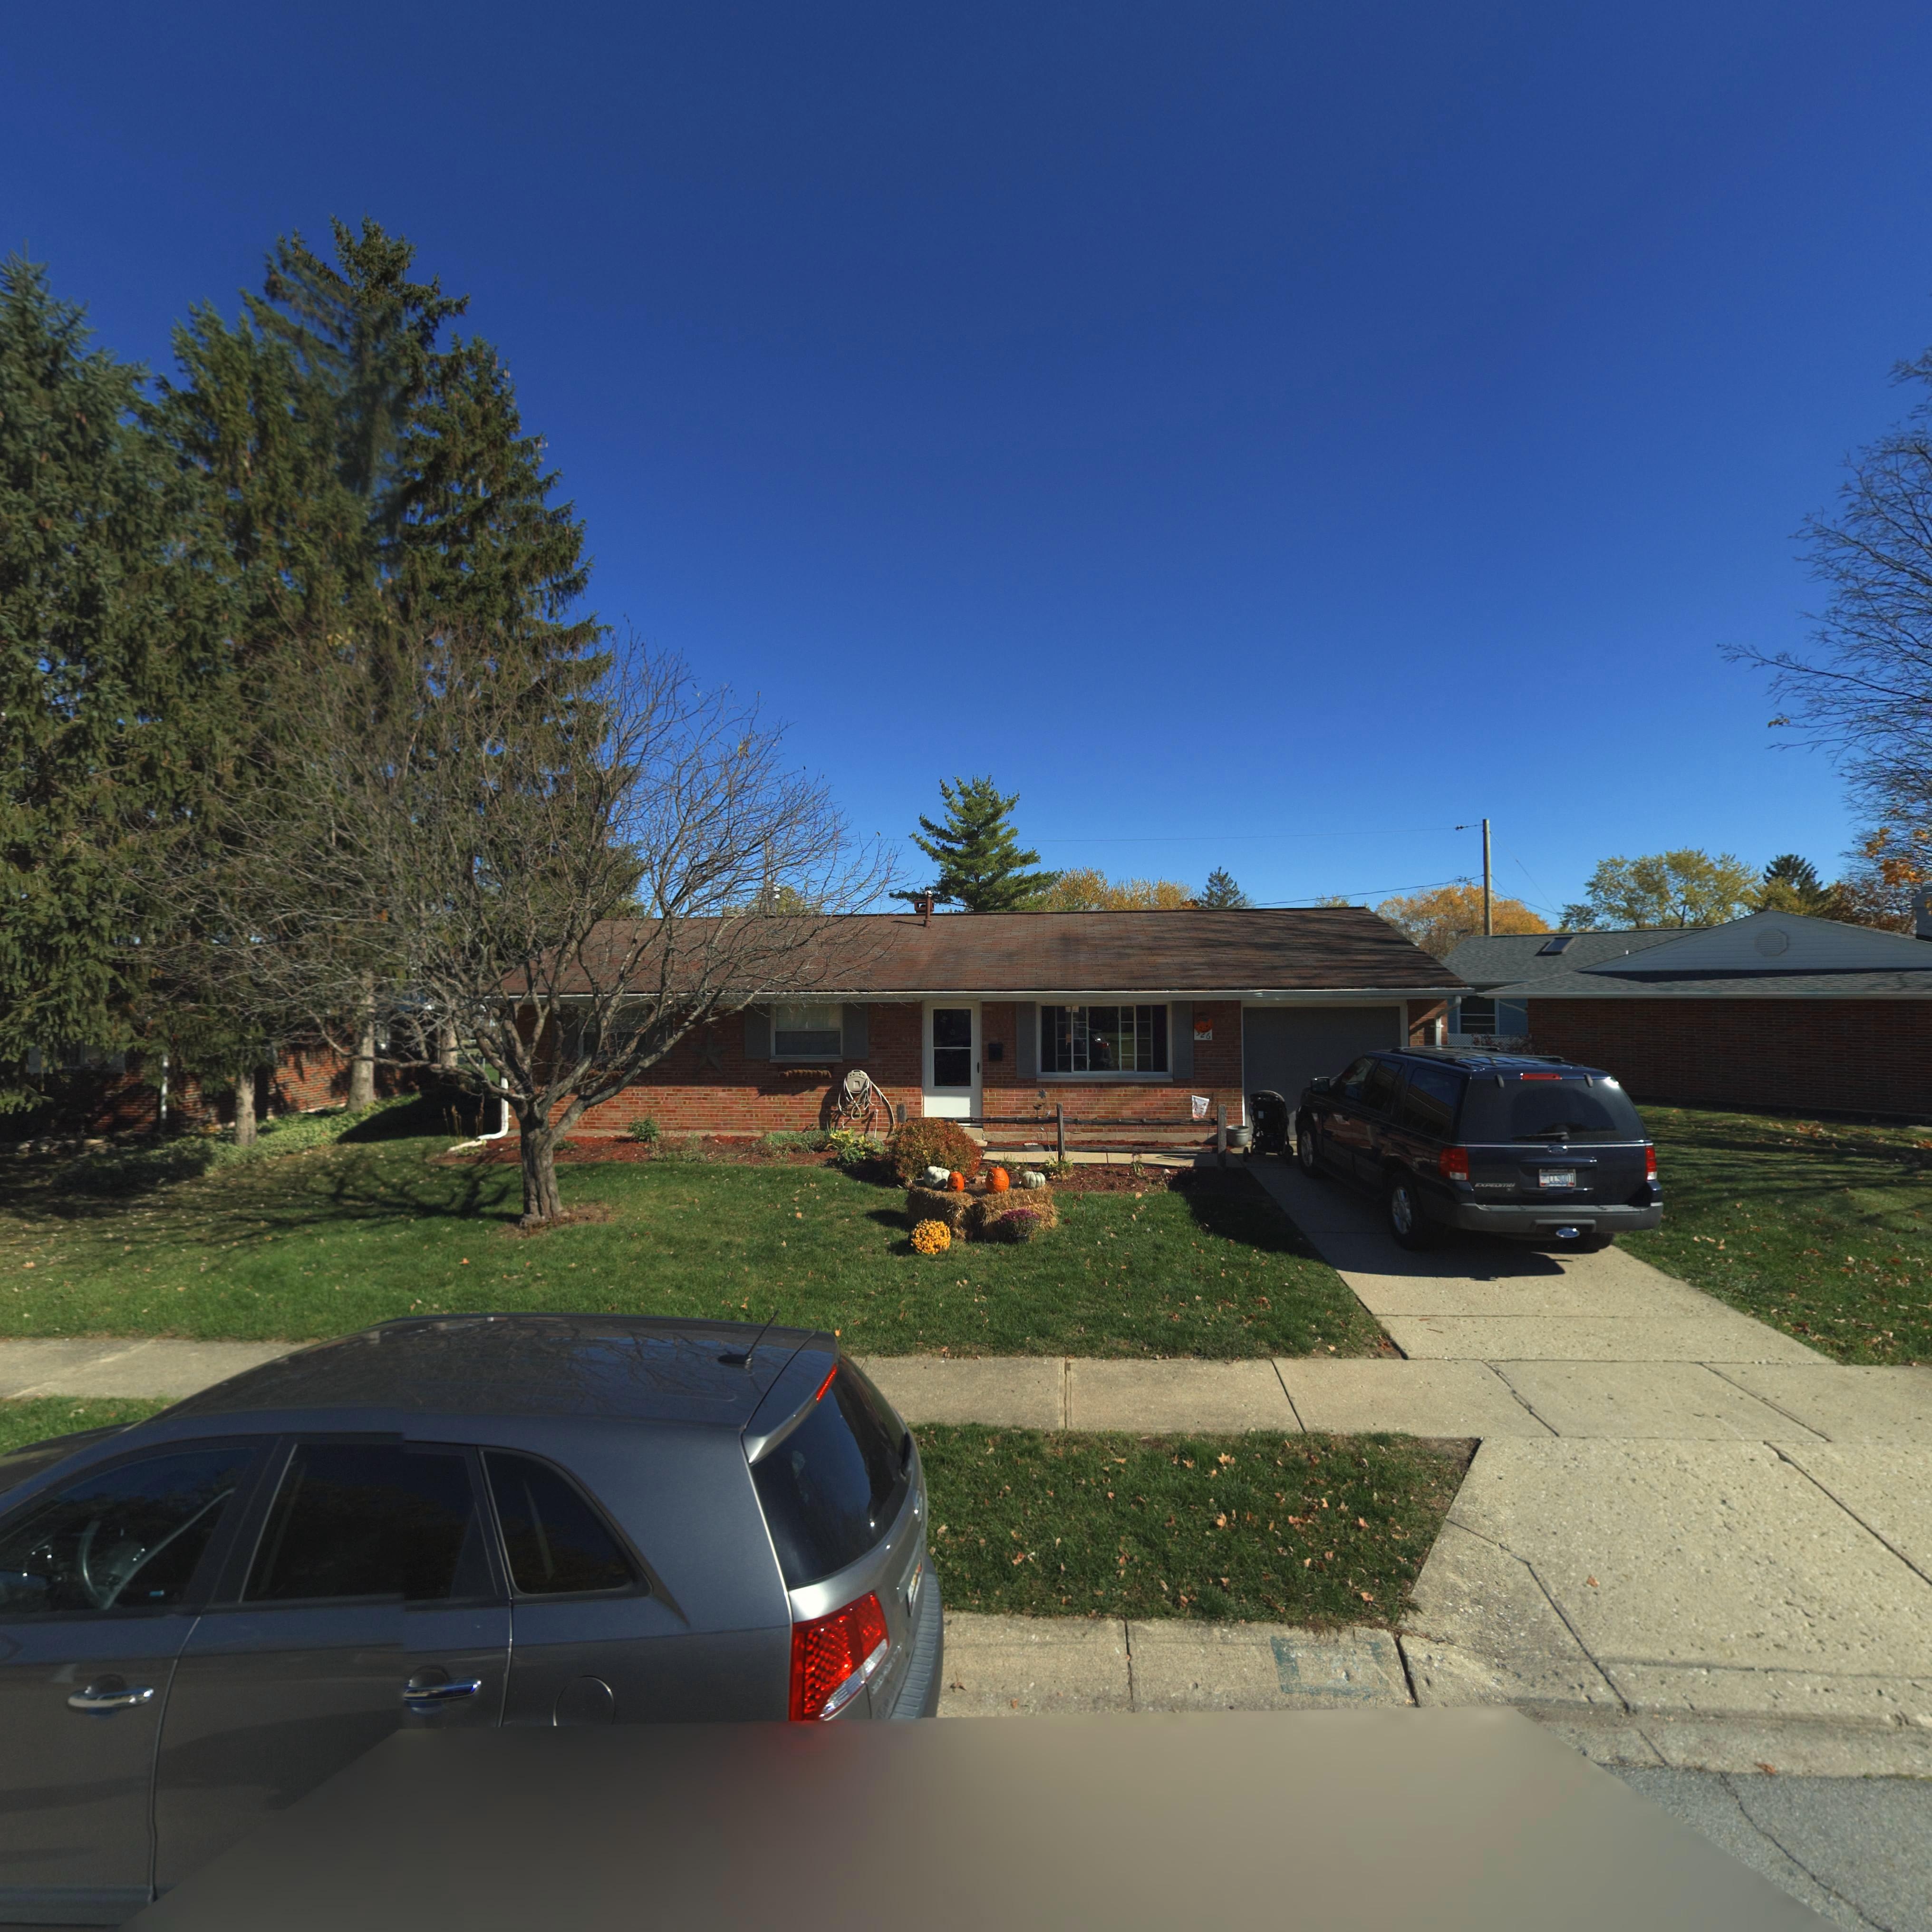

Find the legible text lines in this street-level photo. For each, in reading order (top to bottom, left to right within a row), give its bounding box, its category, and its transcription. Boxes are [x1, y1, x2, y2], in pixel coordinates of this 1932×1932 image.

[1199, 1031, 1212, 1041] StreetNumber: *6